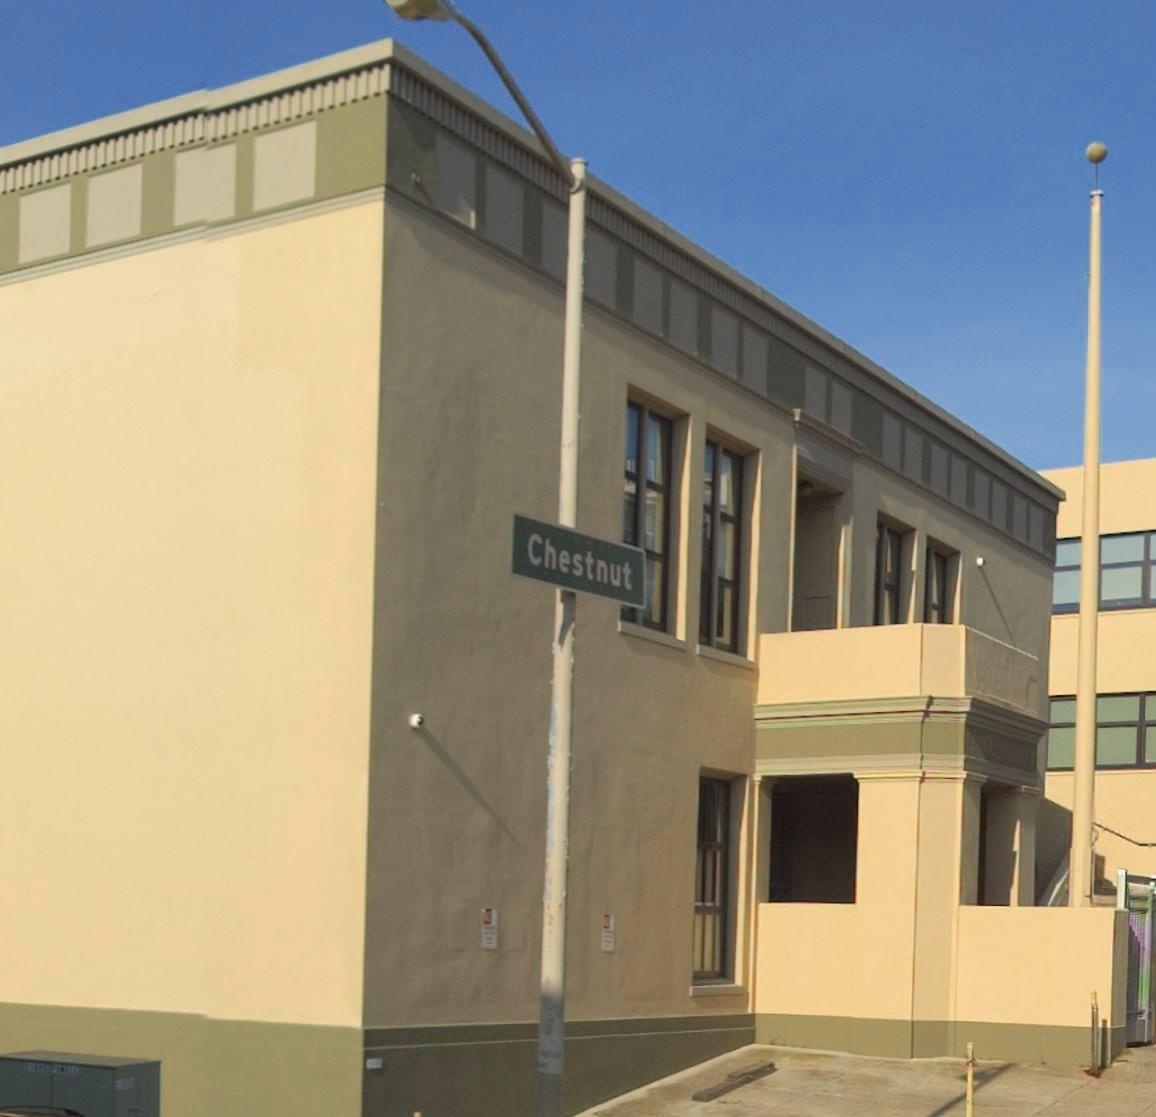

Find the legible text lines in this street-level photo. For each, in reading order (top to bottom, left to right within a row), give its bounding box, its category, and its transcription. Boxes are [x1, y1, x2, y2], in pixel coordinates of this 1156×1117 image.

[523, 525, 637, 596] StreetName: Chestnut